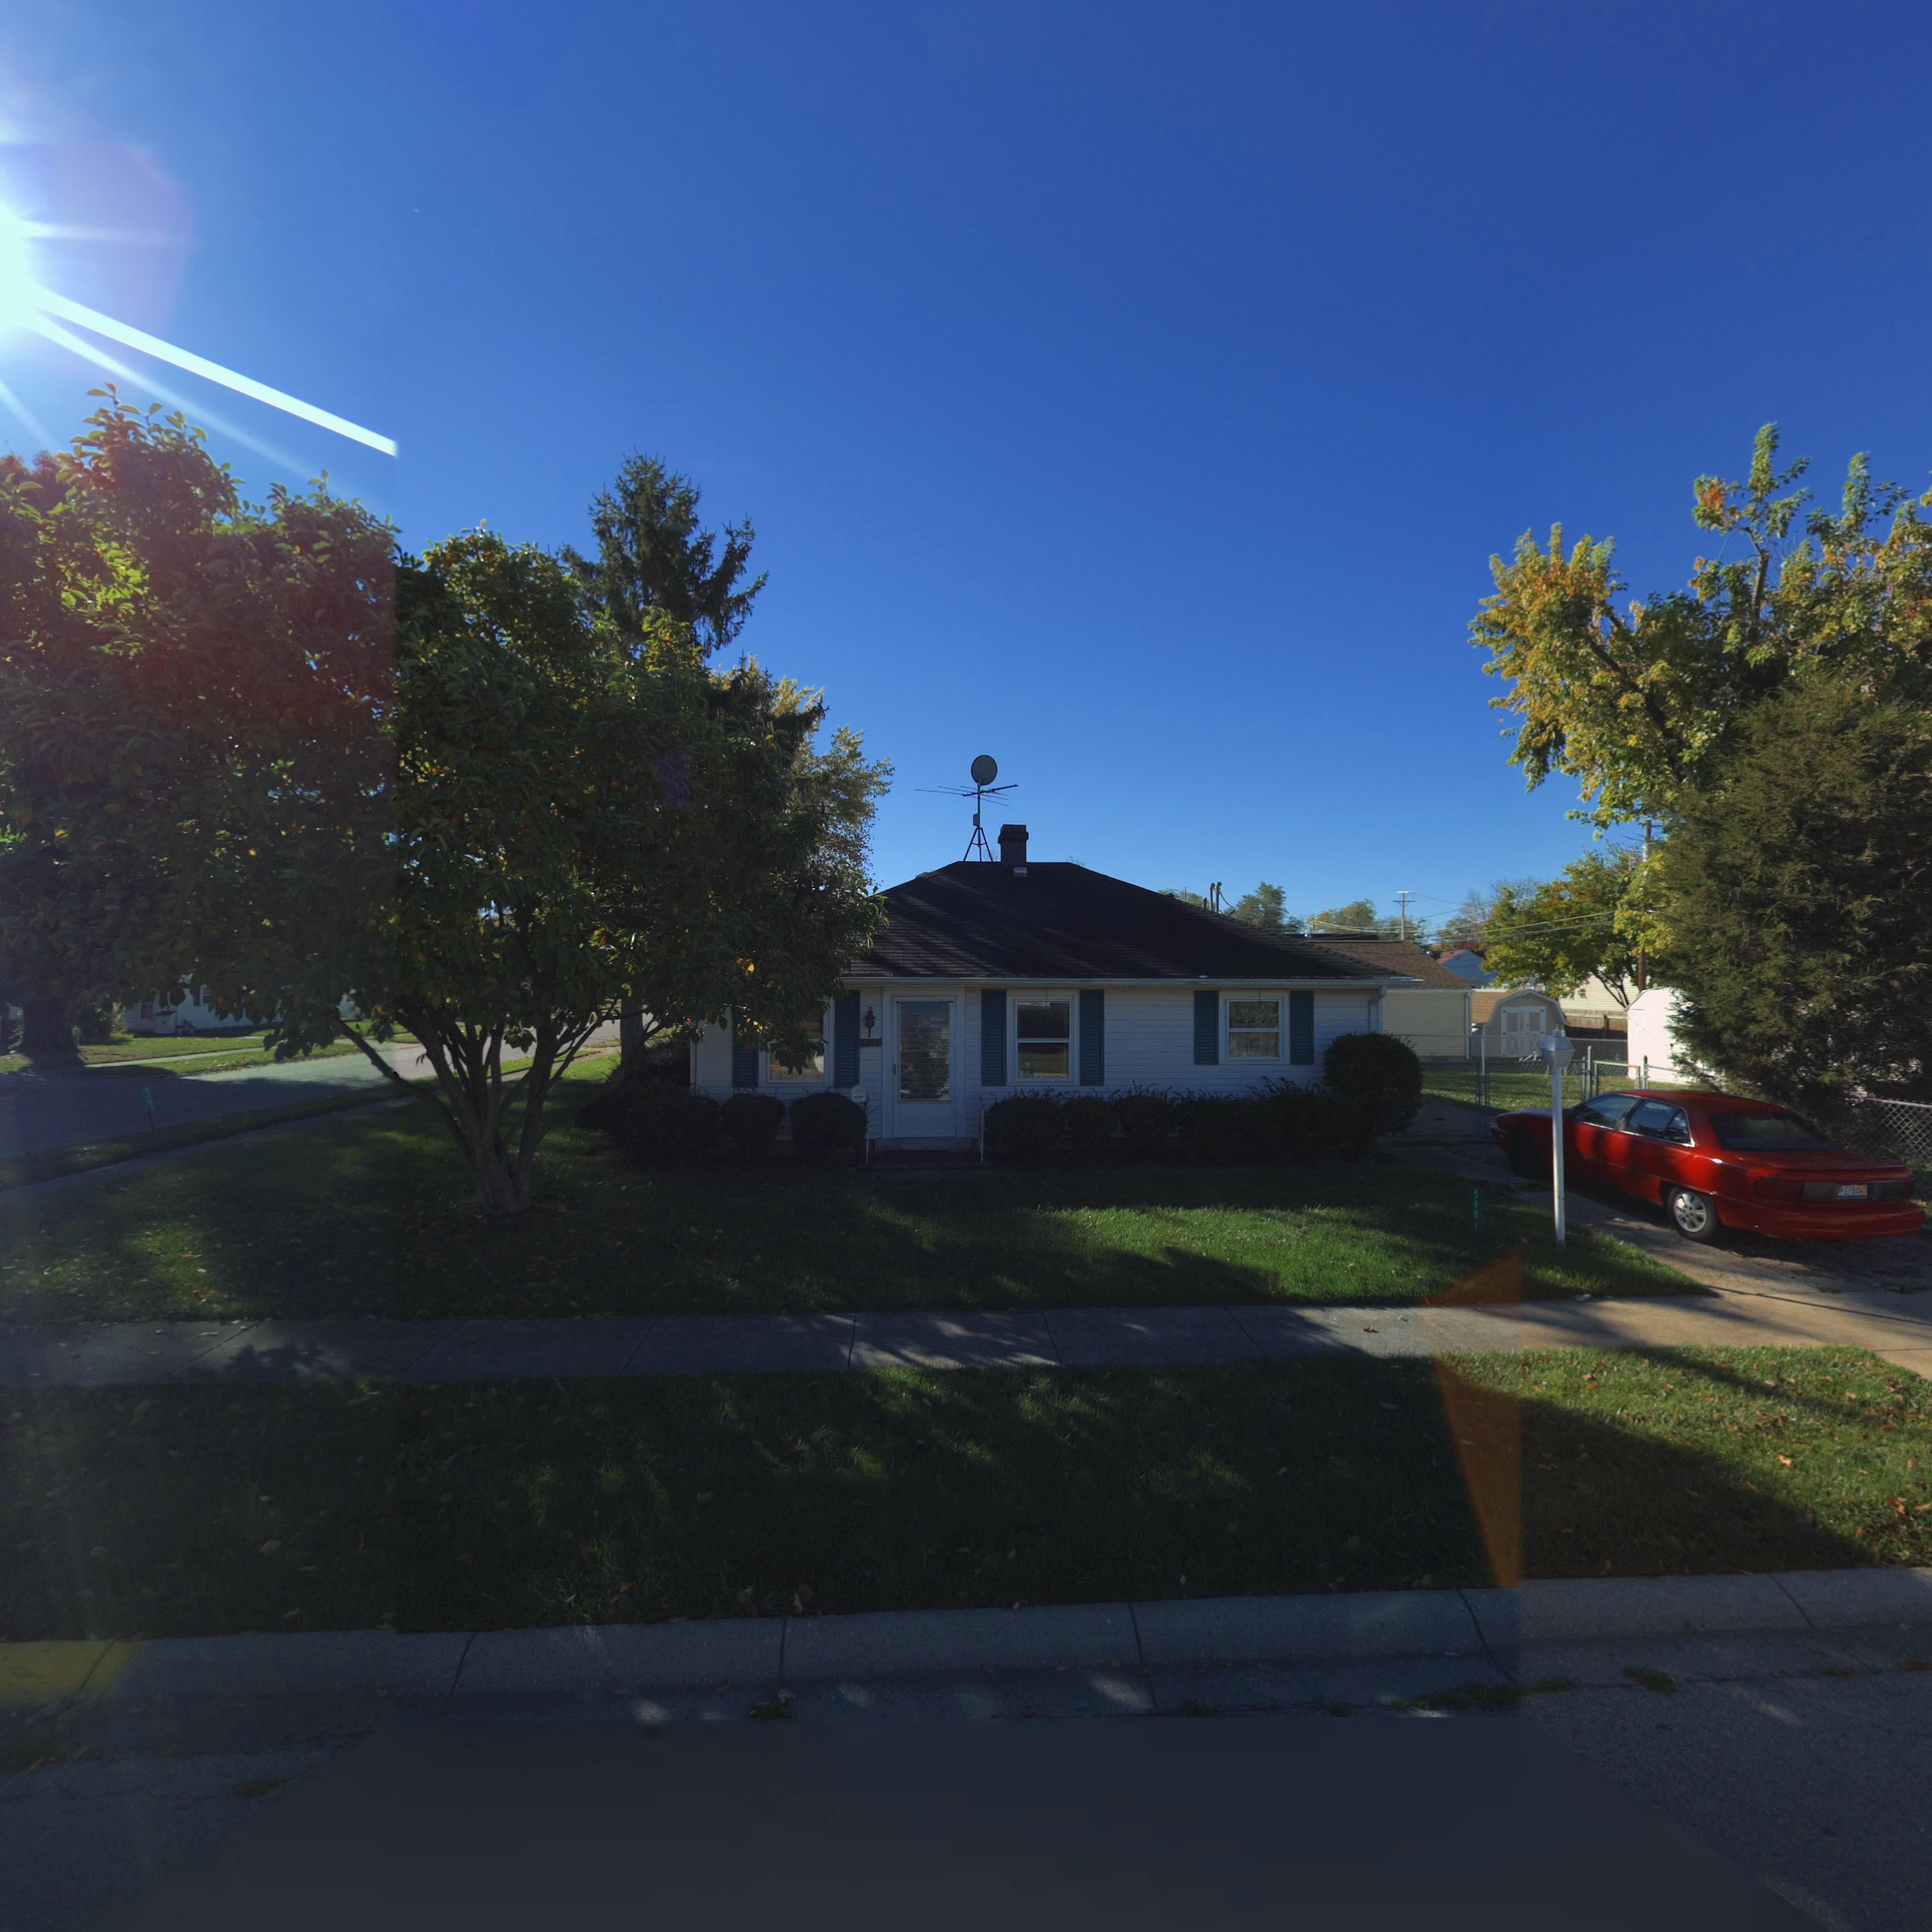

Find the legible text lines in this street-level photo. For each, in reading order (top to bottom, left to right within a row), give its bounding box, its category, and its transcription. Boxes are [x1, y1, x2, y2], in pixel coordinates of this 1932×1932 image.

[860, 1039, 879, 1046] StreetNumber: 5101
[1472, 1187, 1479, 1230] StreetNumber: 5101